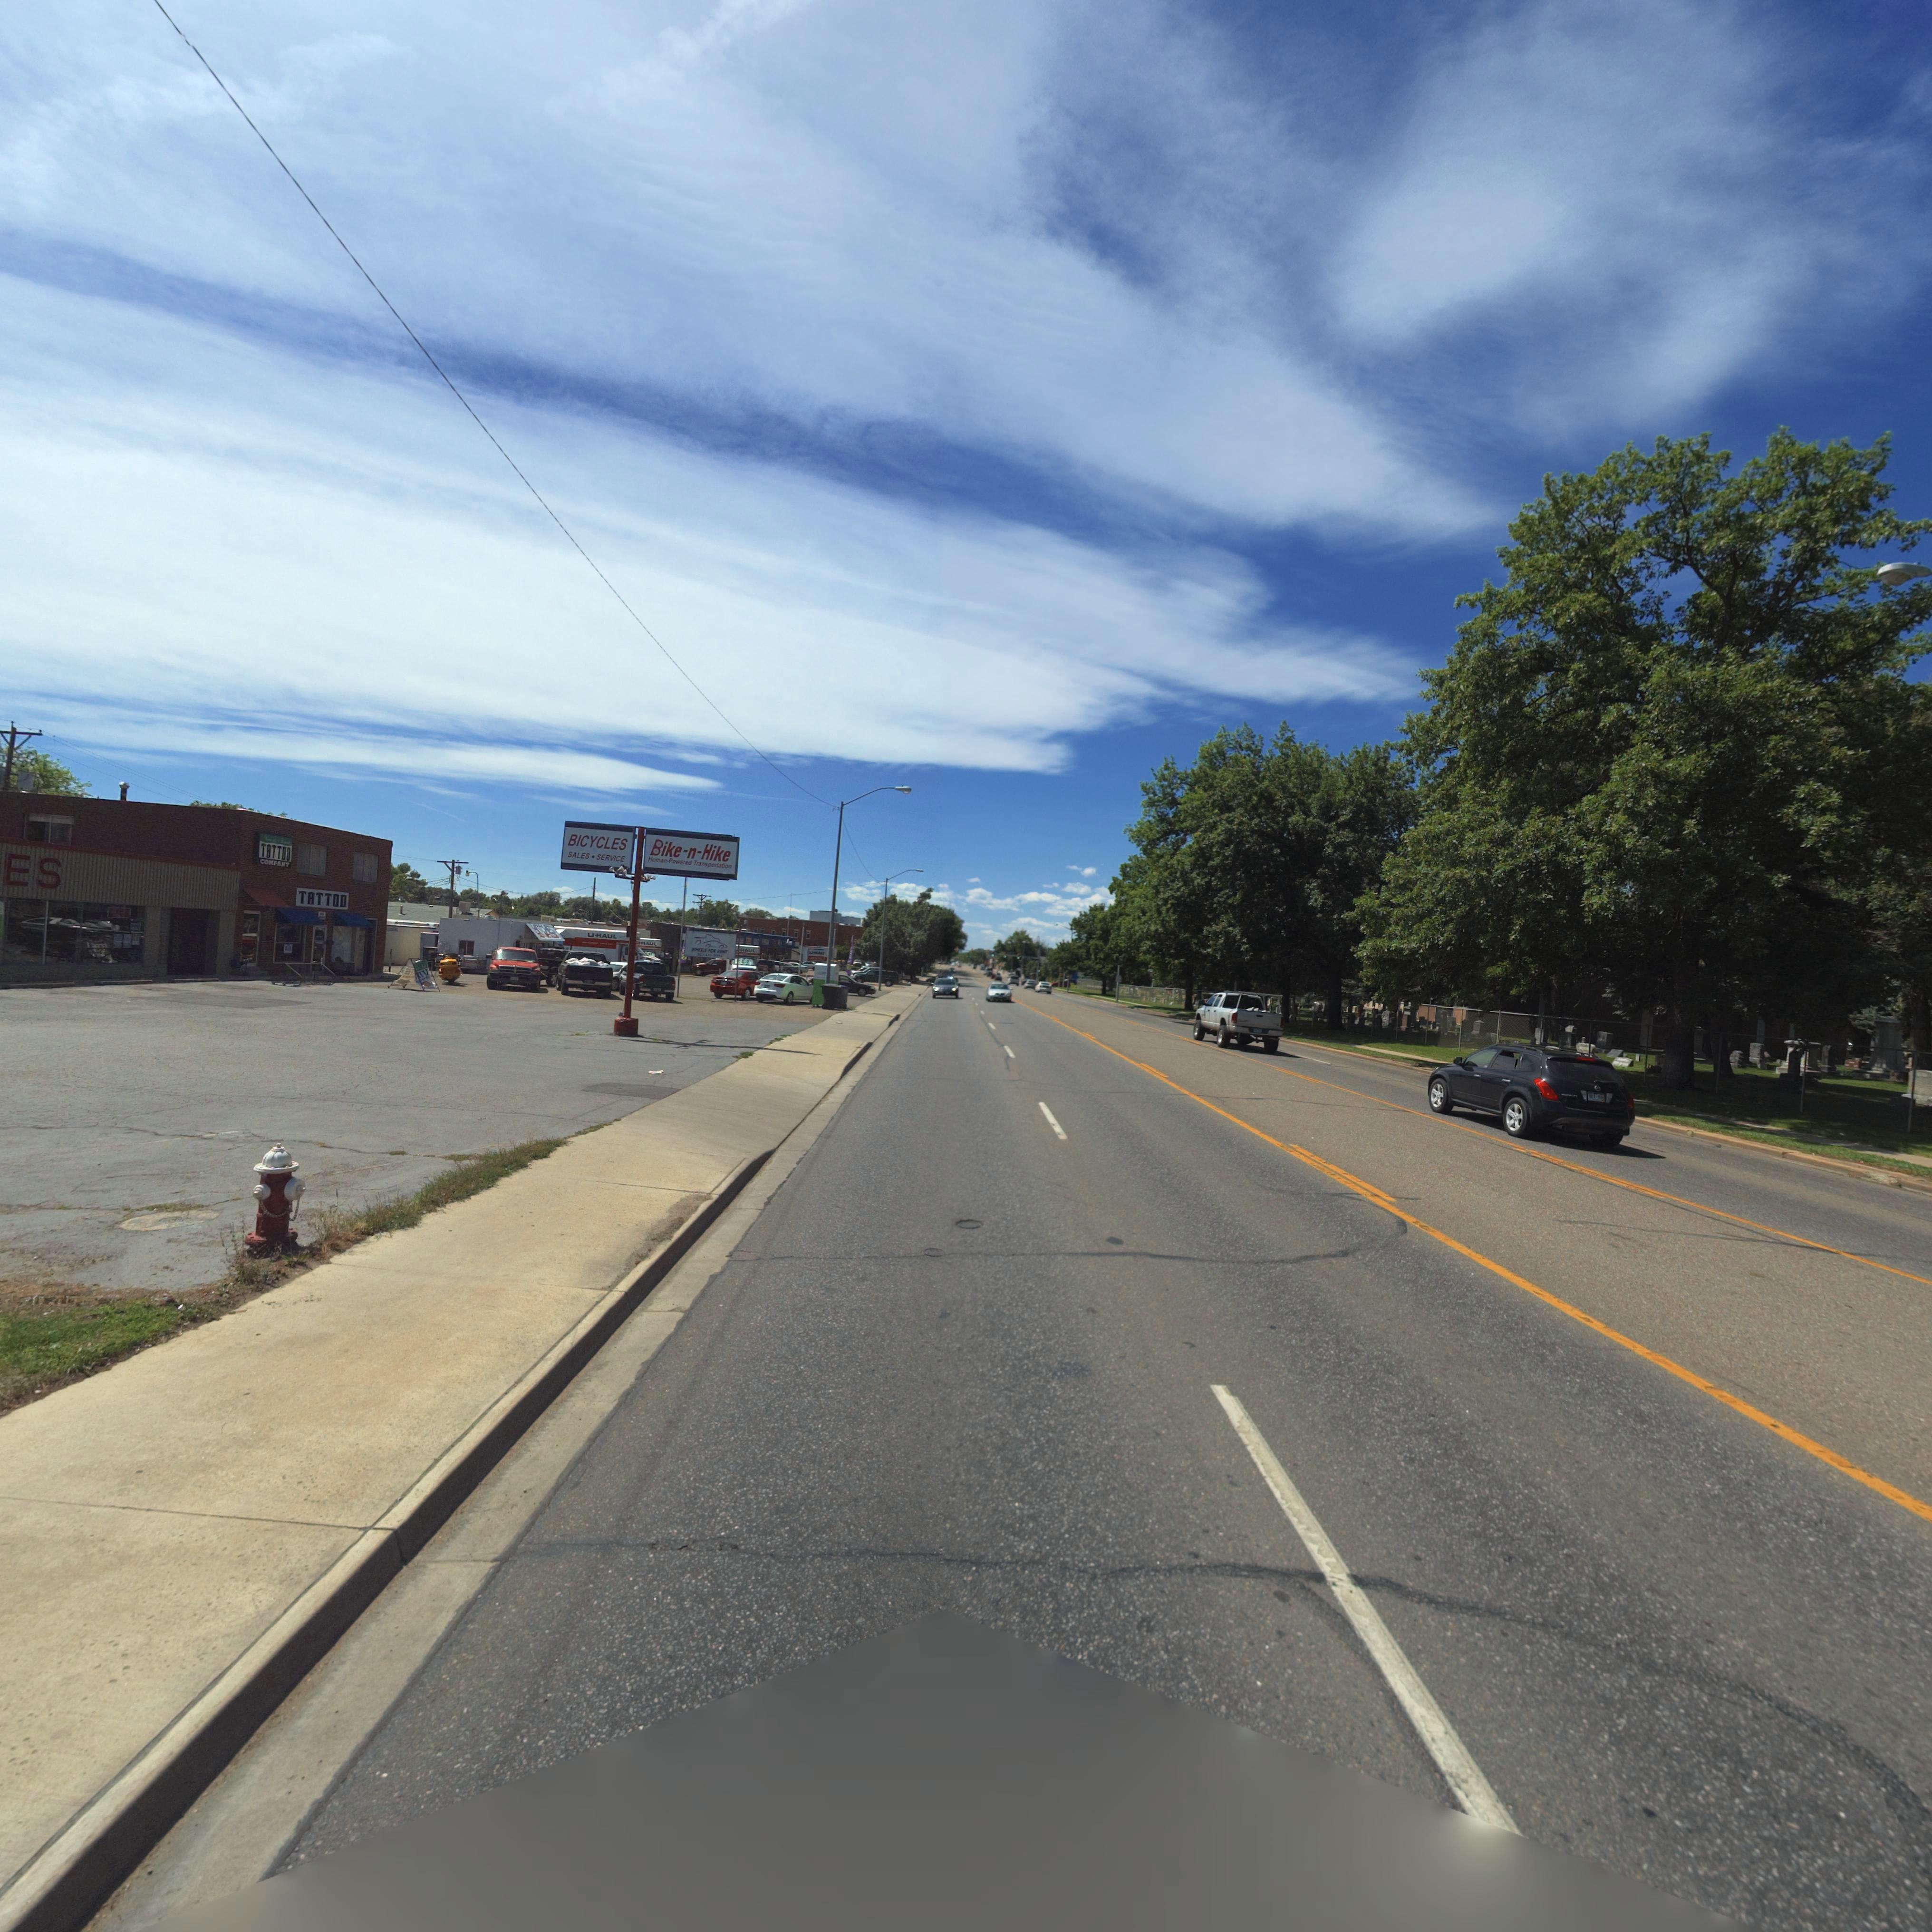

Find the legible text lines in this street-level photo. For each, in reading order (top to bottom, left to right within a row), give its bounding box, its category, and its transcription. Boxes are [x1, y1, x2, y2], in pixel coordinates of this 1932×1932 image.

[261, 842, 291, 861] BusinessName: TATTOO
[649, 838, 731, 862] BusinessName: Bike-n-Hike
[260, 859, 290, 867] BusinessName: COMPANY
[299, 890, 347, 908] BusinessName: TATTOO